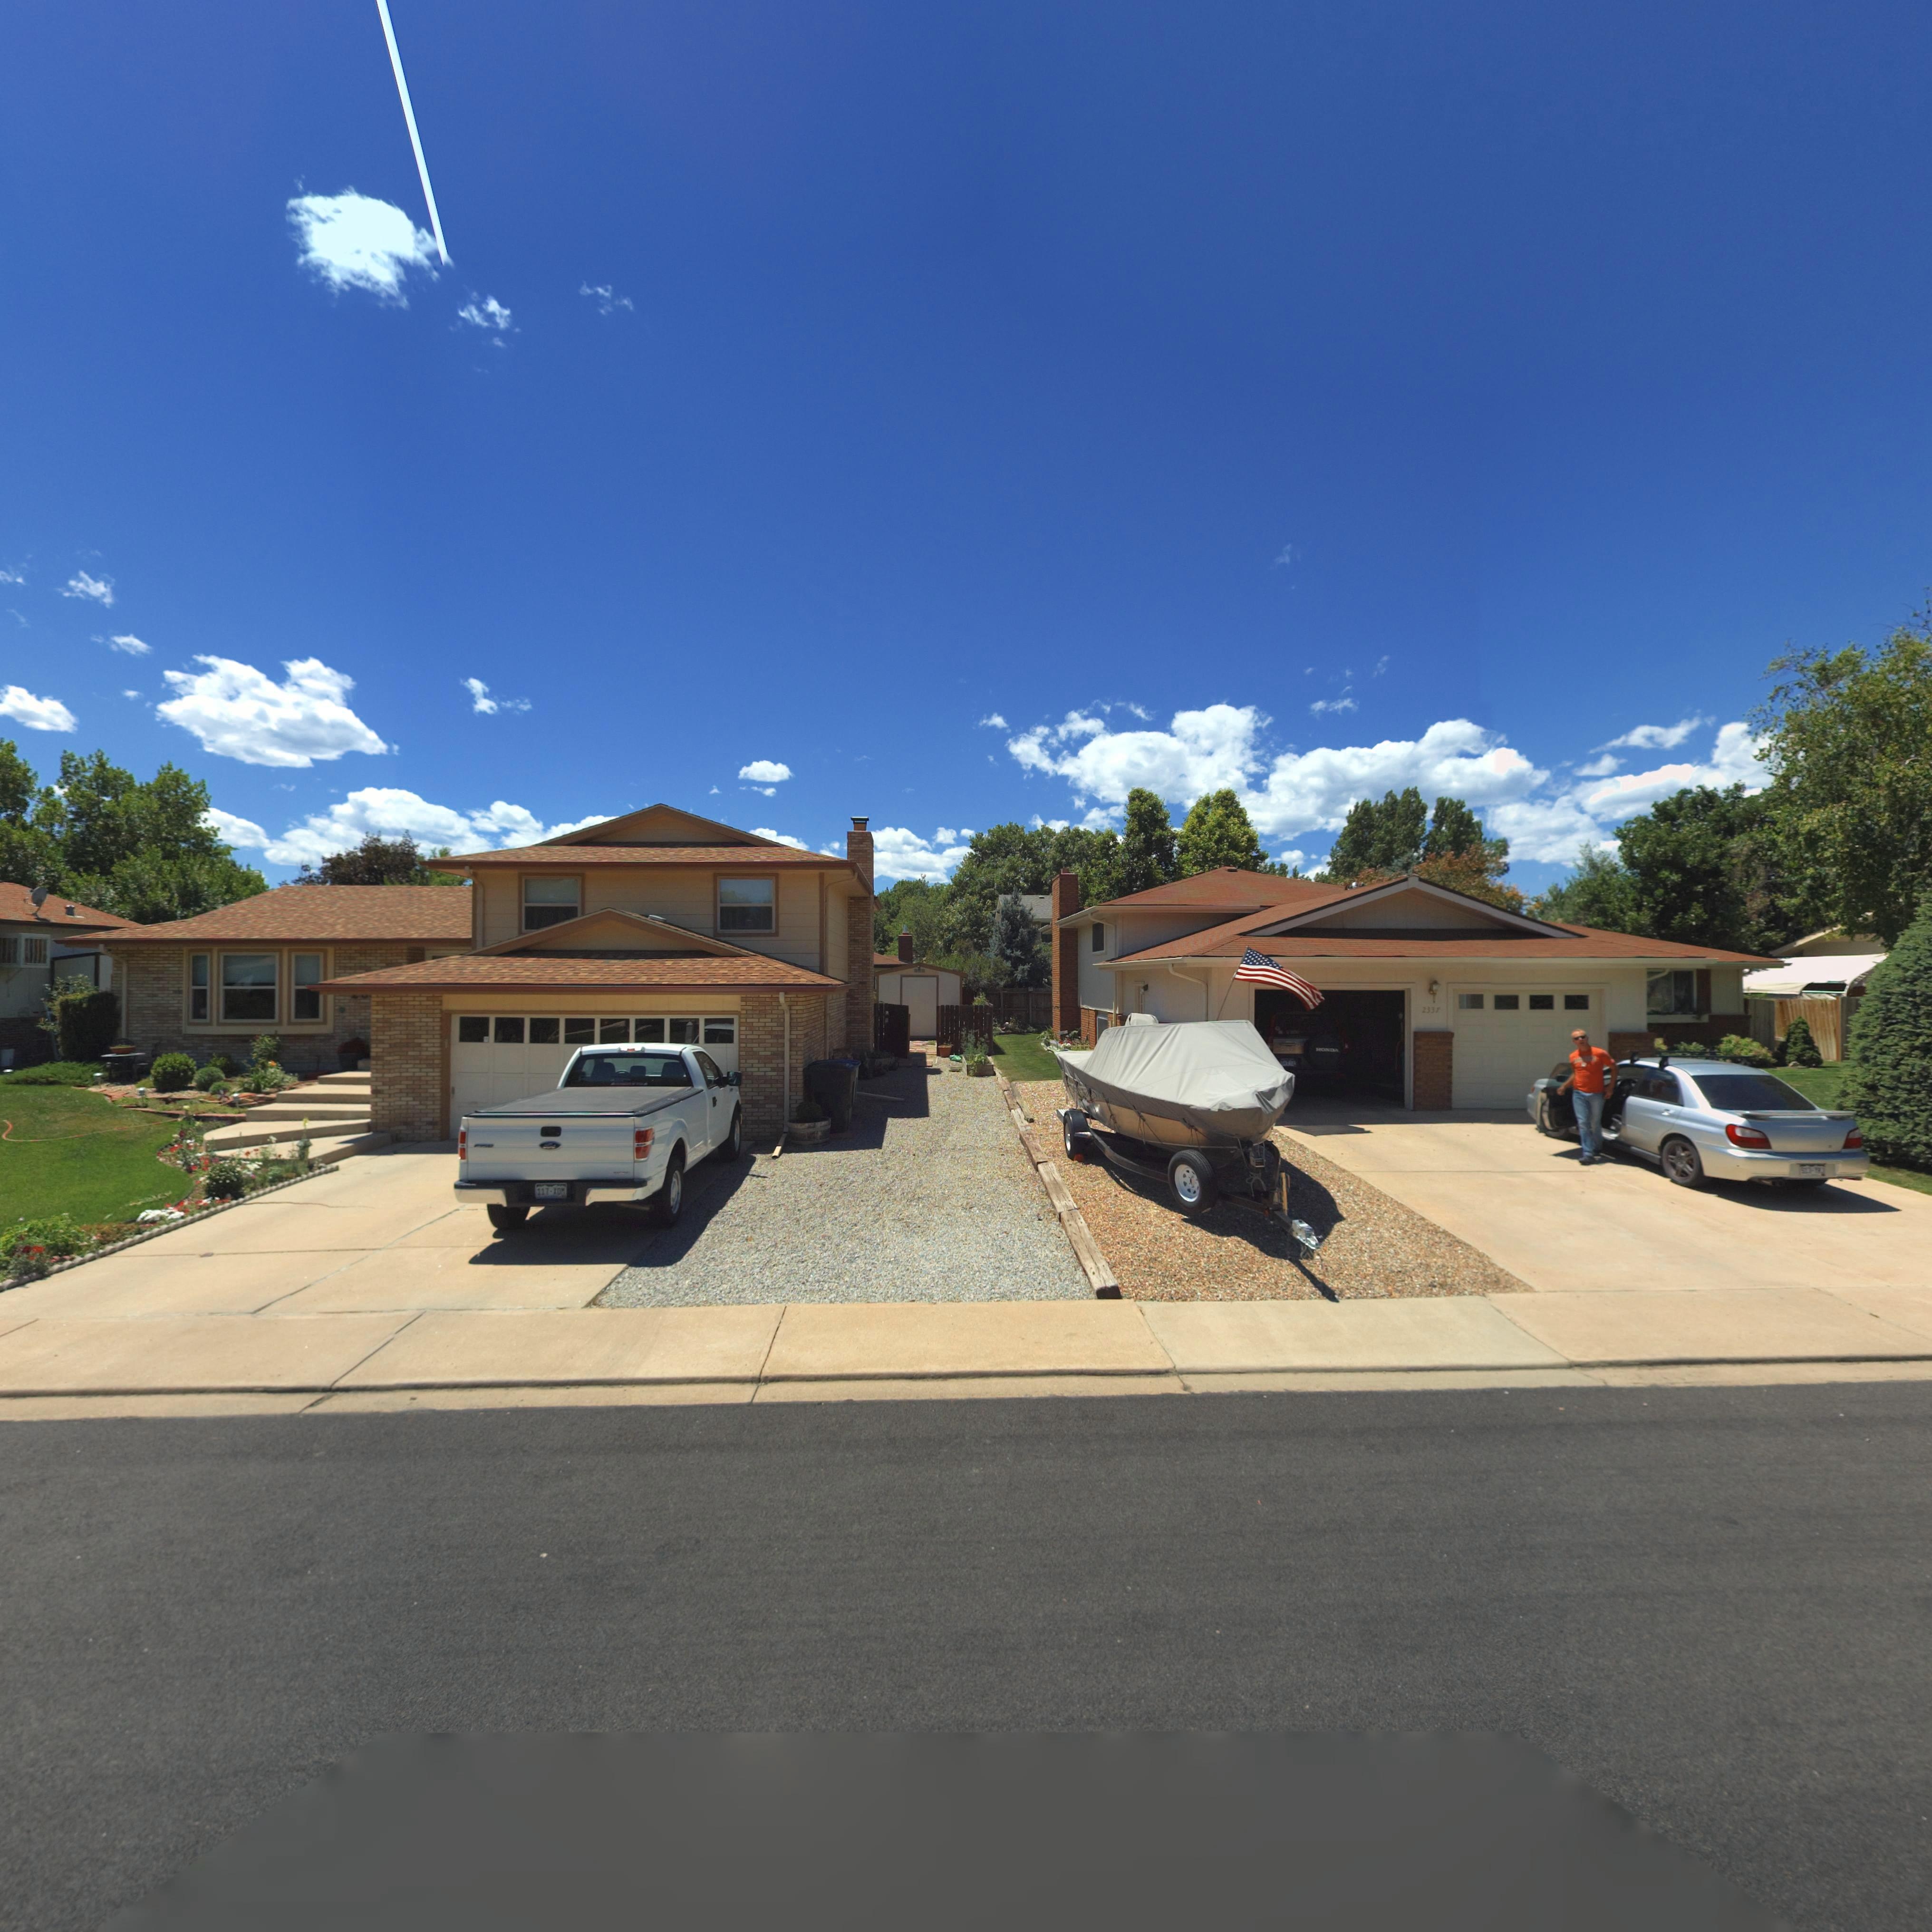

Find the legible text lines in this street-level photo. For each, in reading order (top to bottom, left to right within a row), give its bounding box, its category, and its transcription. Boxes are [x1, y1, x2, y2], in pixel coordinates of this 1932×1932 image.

[1421, 1006, 1440, 1013] StreetNumber: 2337